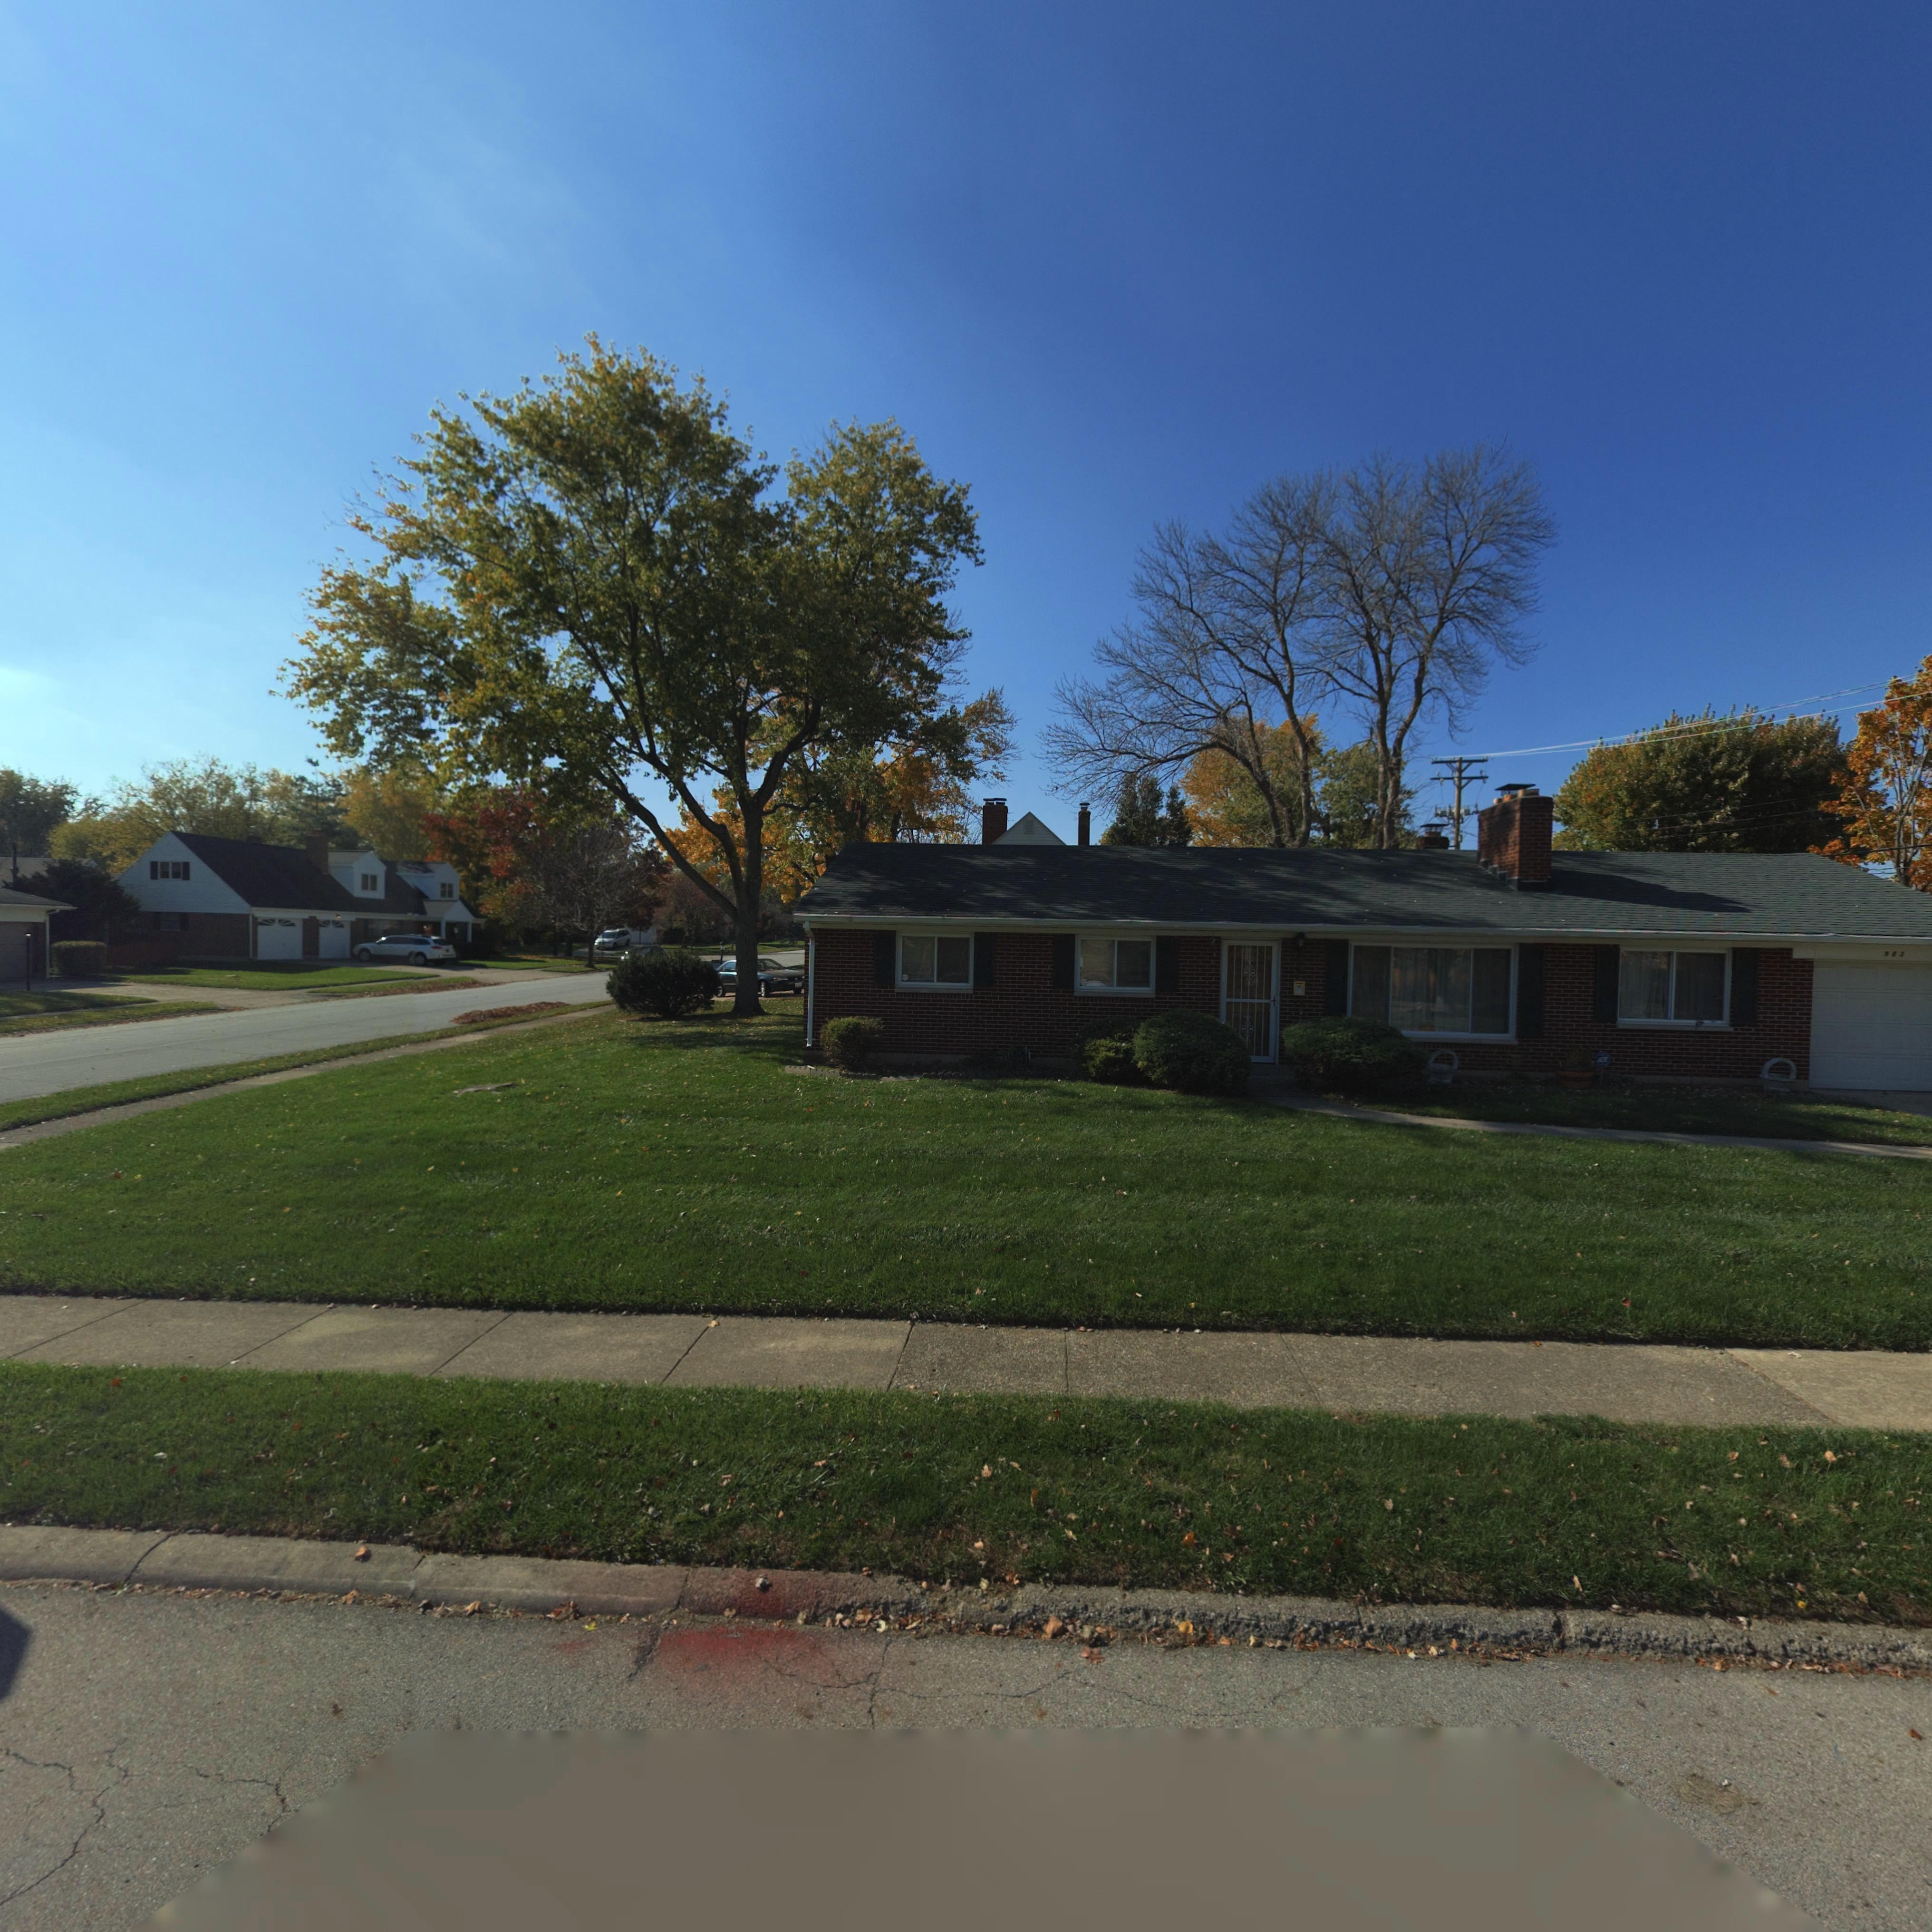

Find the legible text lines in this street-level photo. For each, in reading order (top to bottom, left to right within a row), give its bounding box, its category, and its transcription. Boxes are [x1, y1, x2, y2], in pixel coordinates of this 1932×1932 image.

[1883, 950, 1905, 957] StreetNumber: 9*3